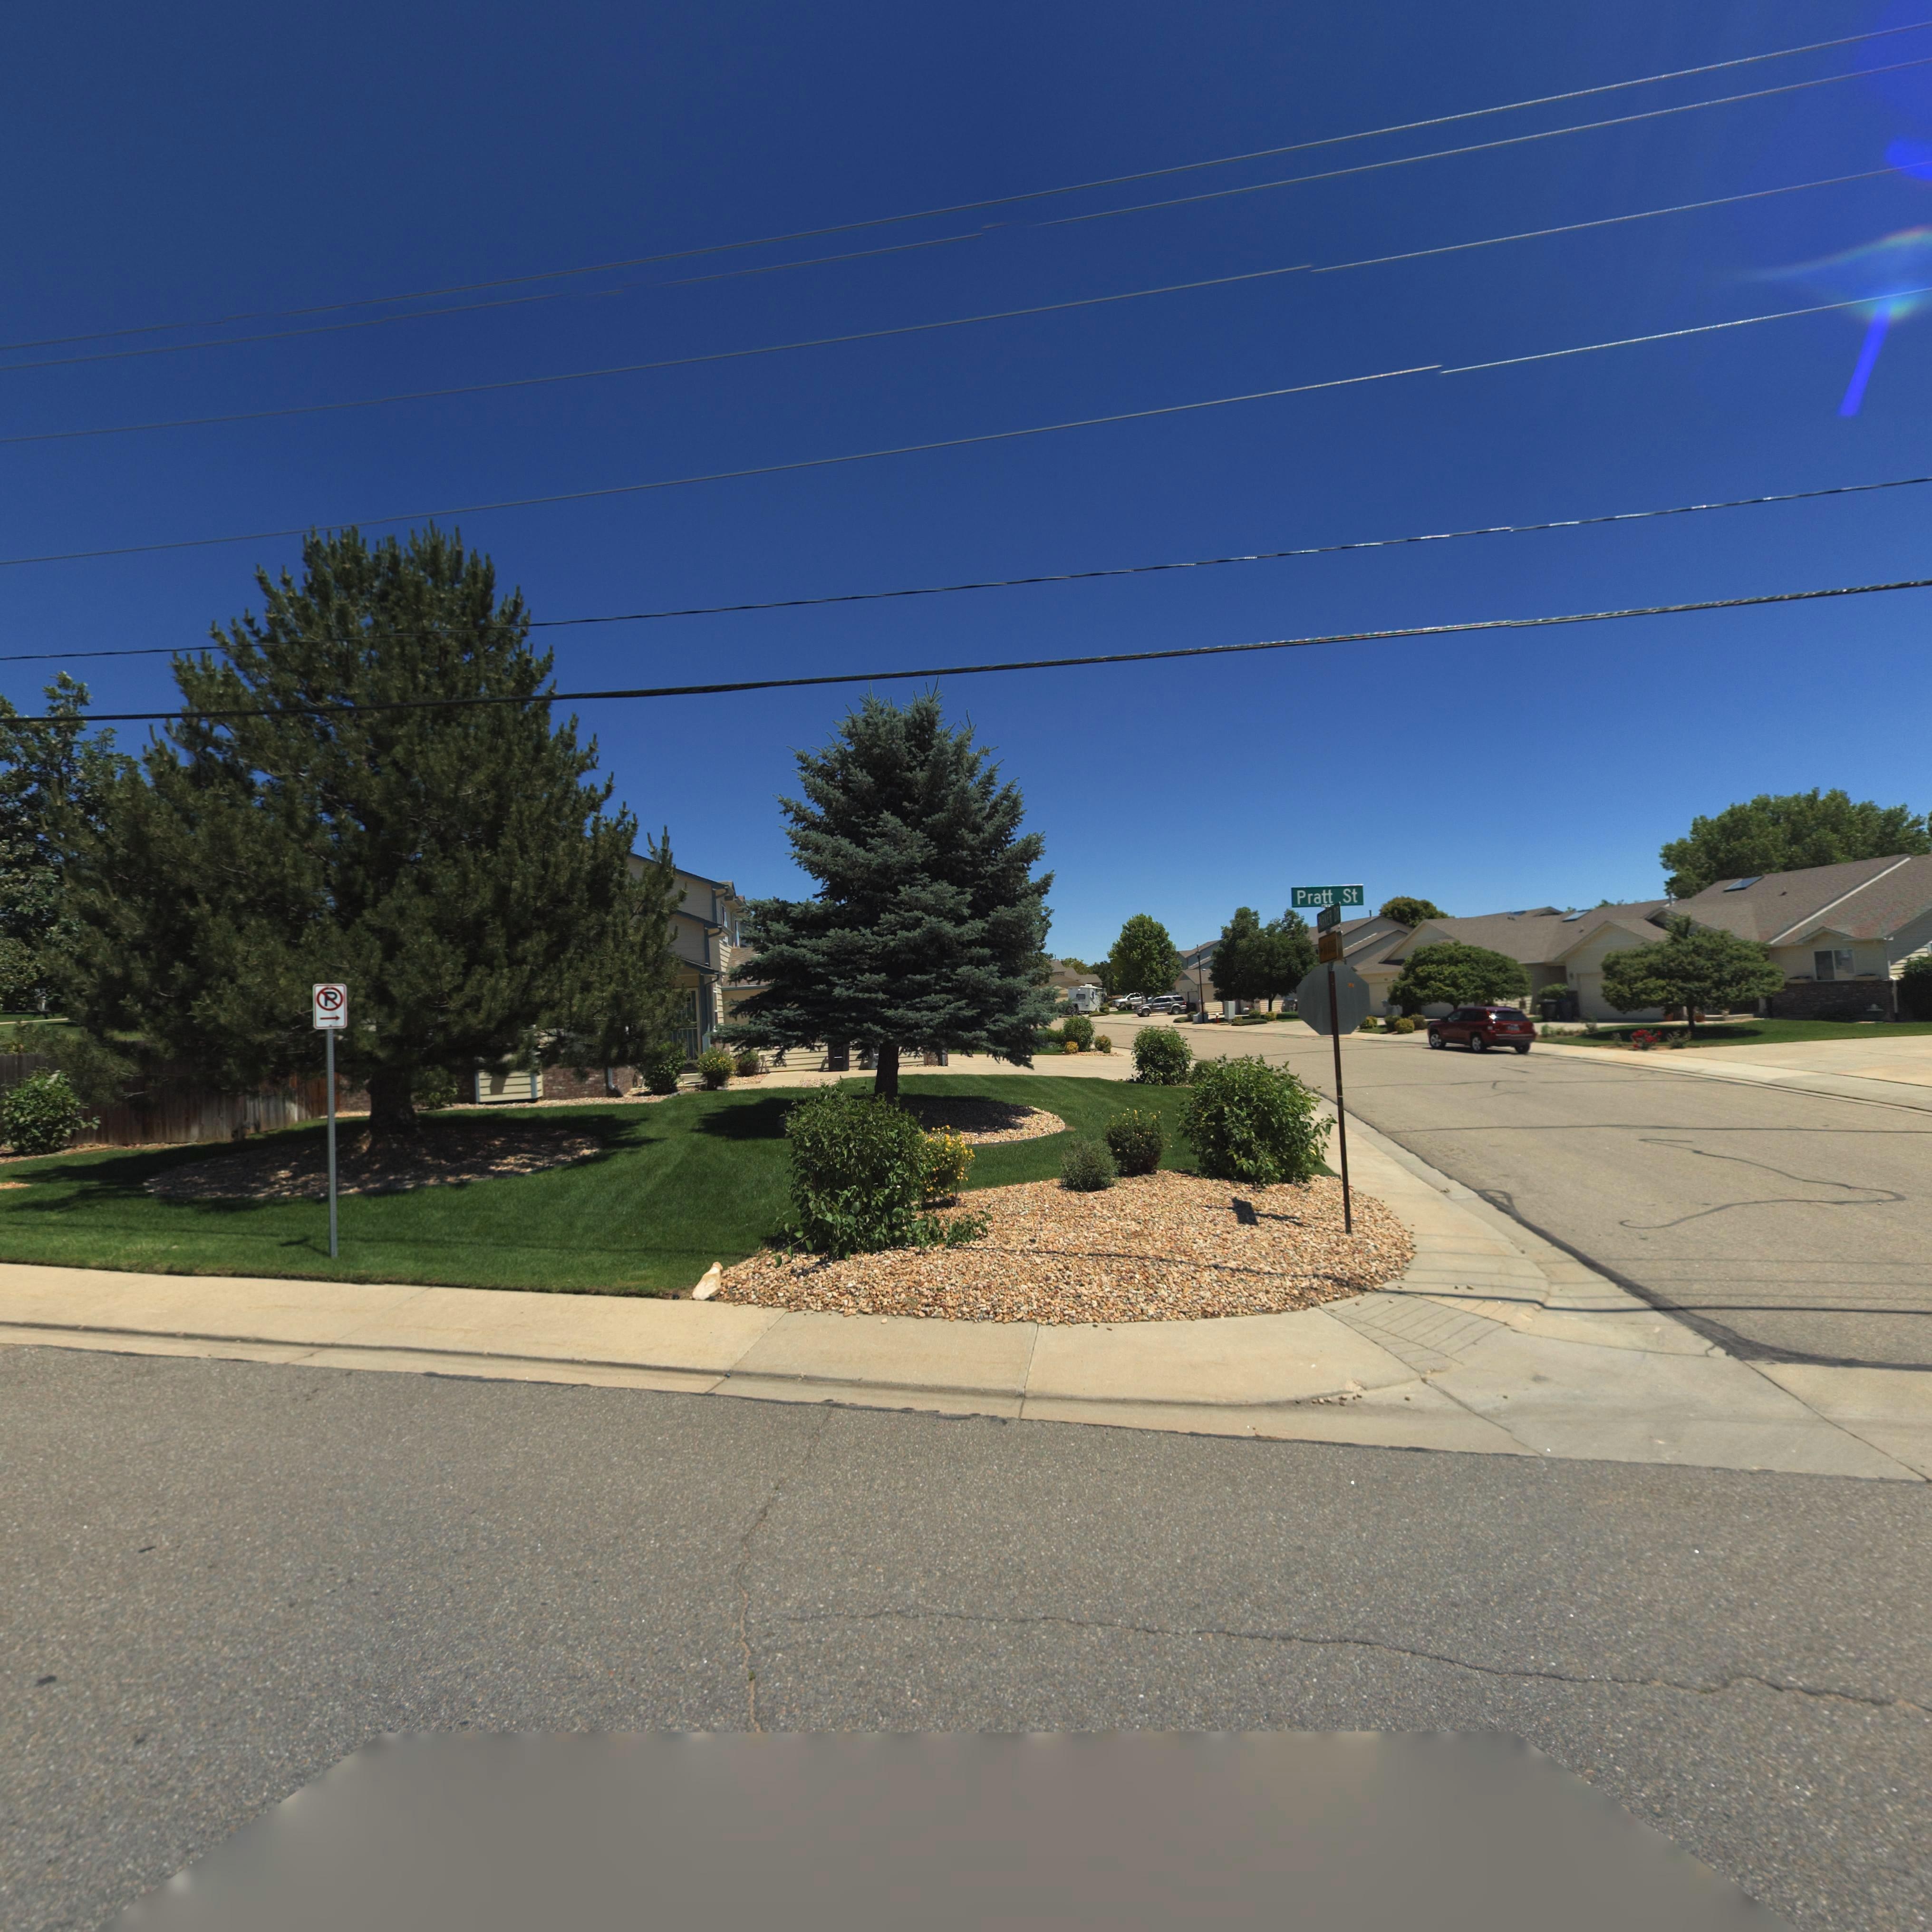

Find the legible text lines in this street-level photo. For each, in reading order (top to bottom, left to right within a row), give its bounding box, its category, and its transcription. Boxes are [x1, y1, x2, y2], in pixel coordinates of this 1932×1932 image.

[1296, 888, 1358, 905] StreetName: Pratt St
[1317, 904, 1340, 931] StreetName: PARKER DR